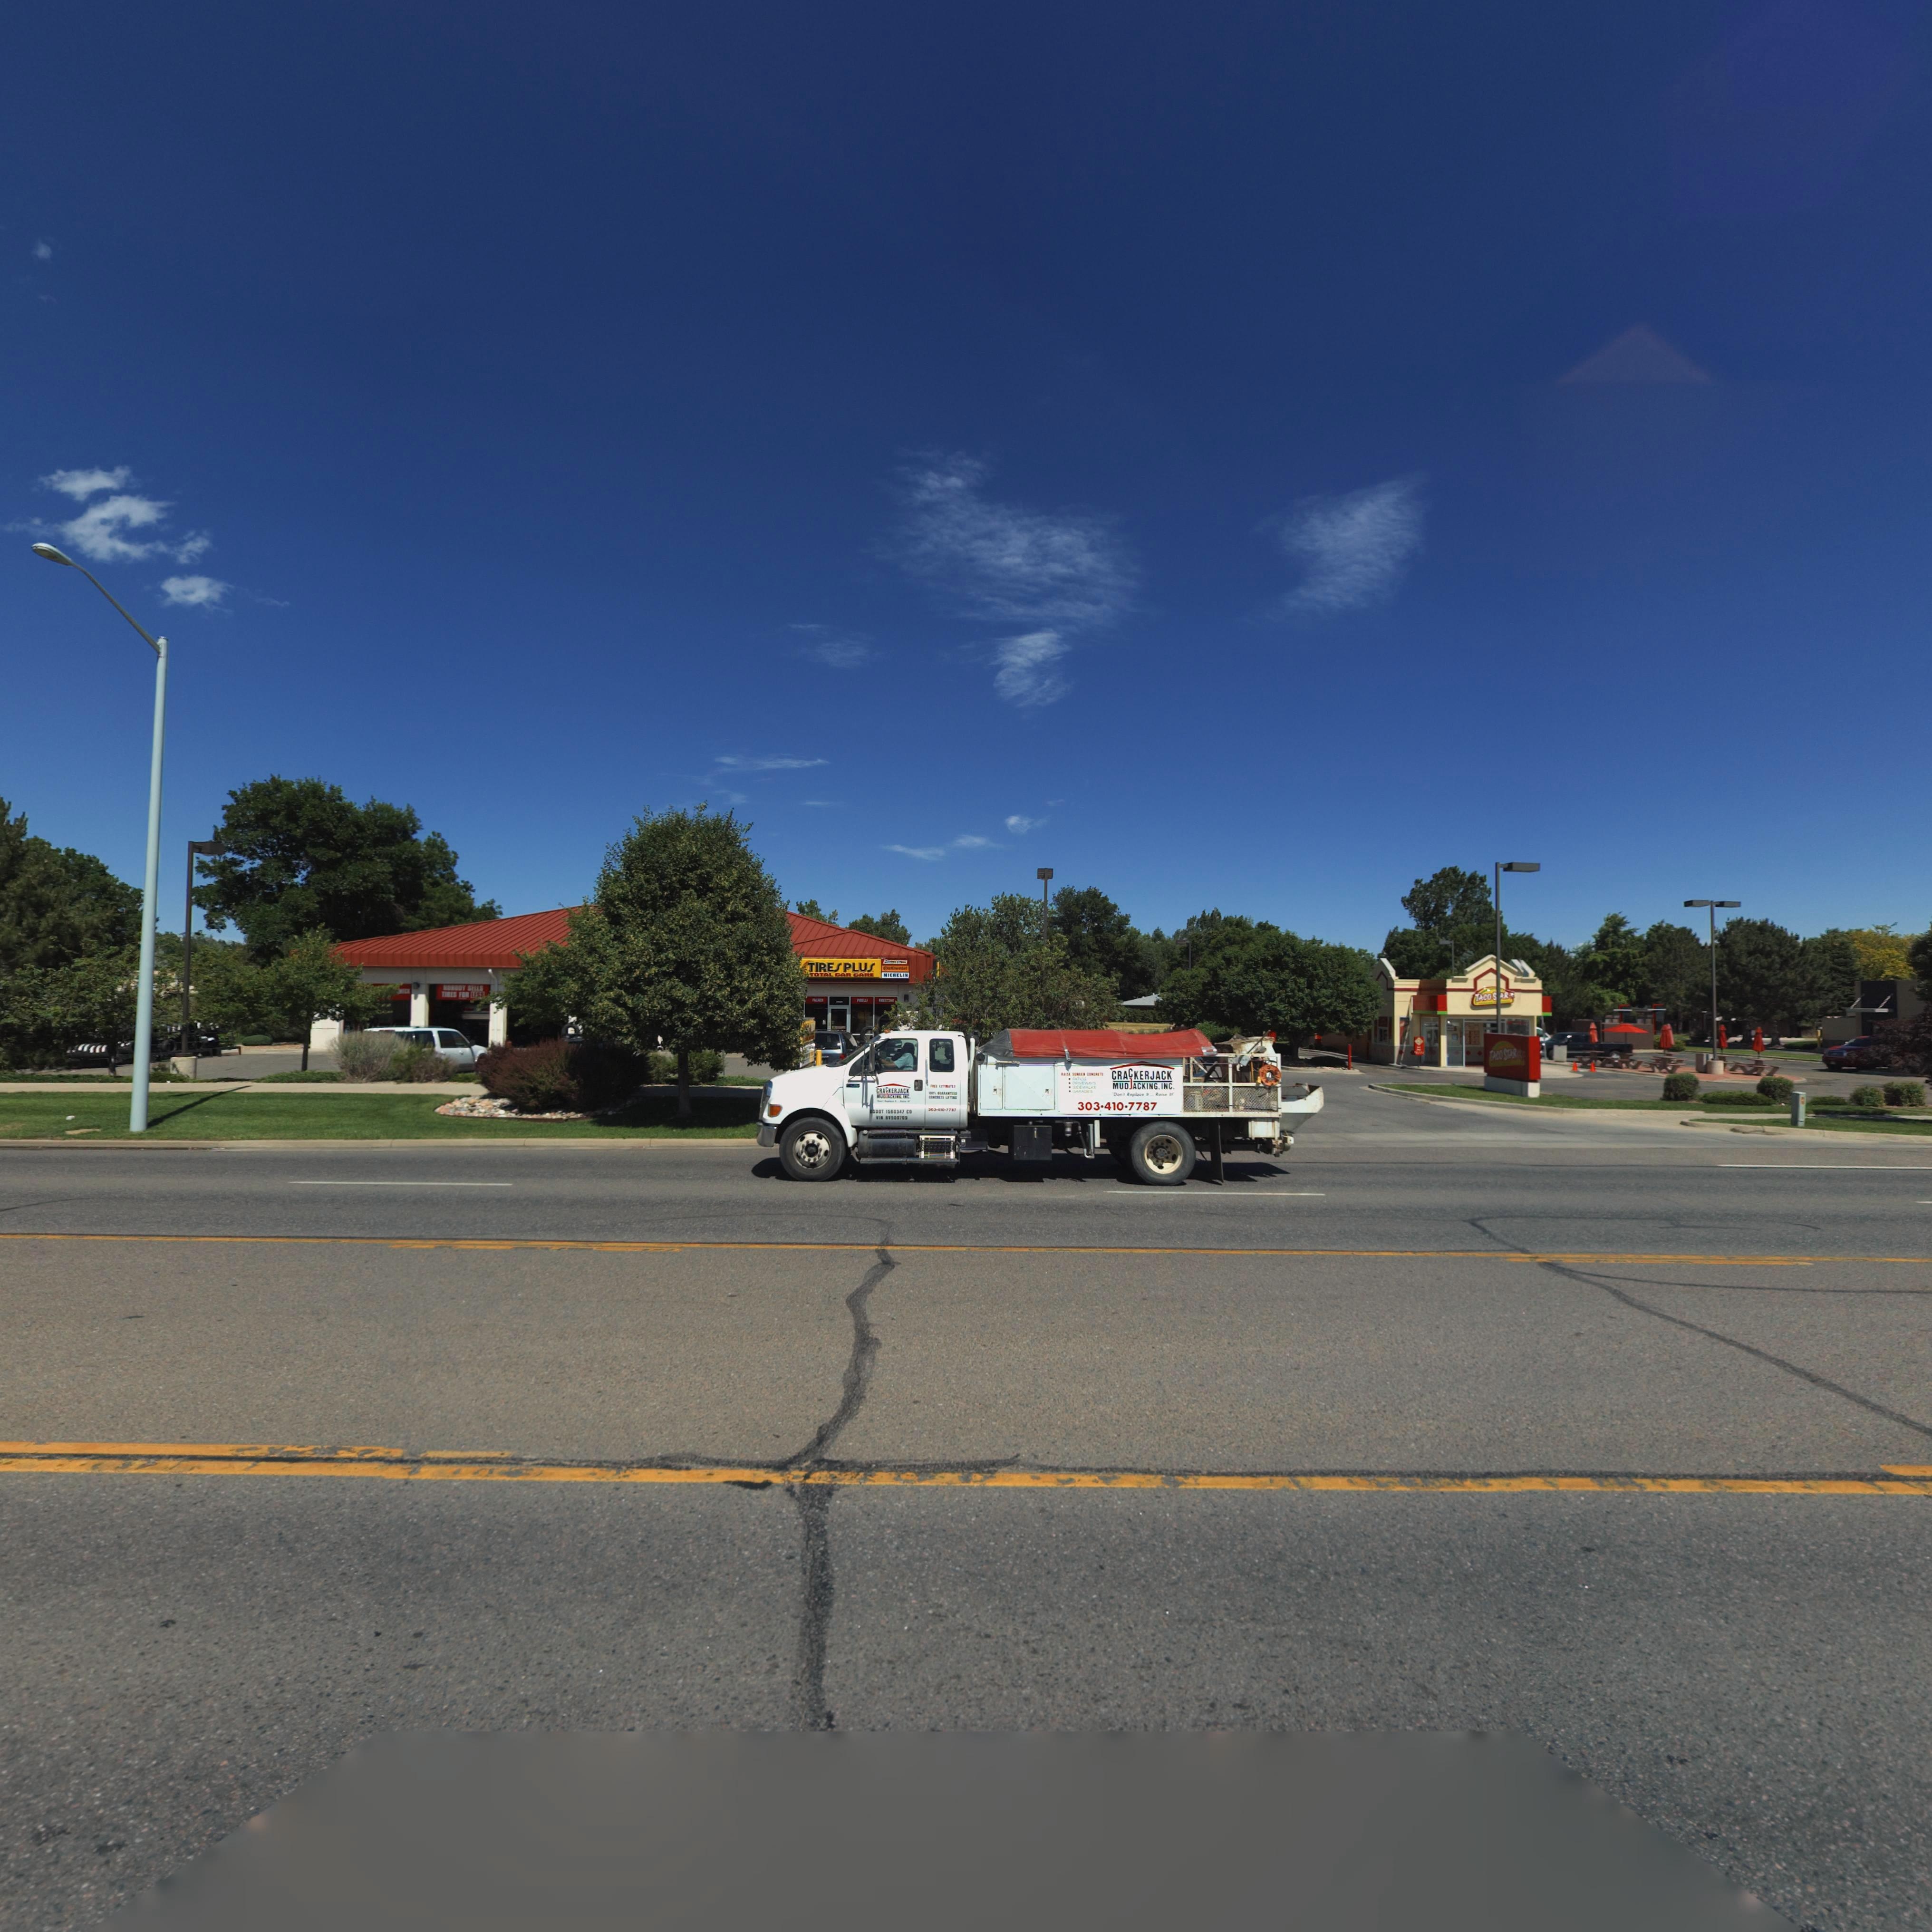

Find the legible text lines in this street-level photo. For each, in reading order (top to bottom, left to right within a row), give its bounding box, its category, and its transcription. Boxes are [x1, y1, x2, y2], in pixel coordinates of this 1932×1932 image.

[807, 962, 875, 972] BusinessName: TIRES PLUS
[1474, 991, 1509, 1002] BusinessName: TACO S*AR
[1488, 1047, 1517, 1062] BusinessName: TACO STAR